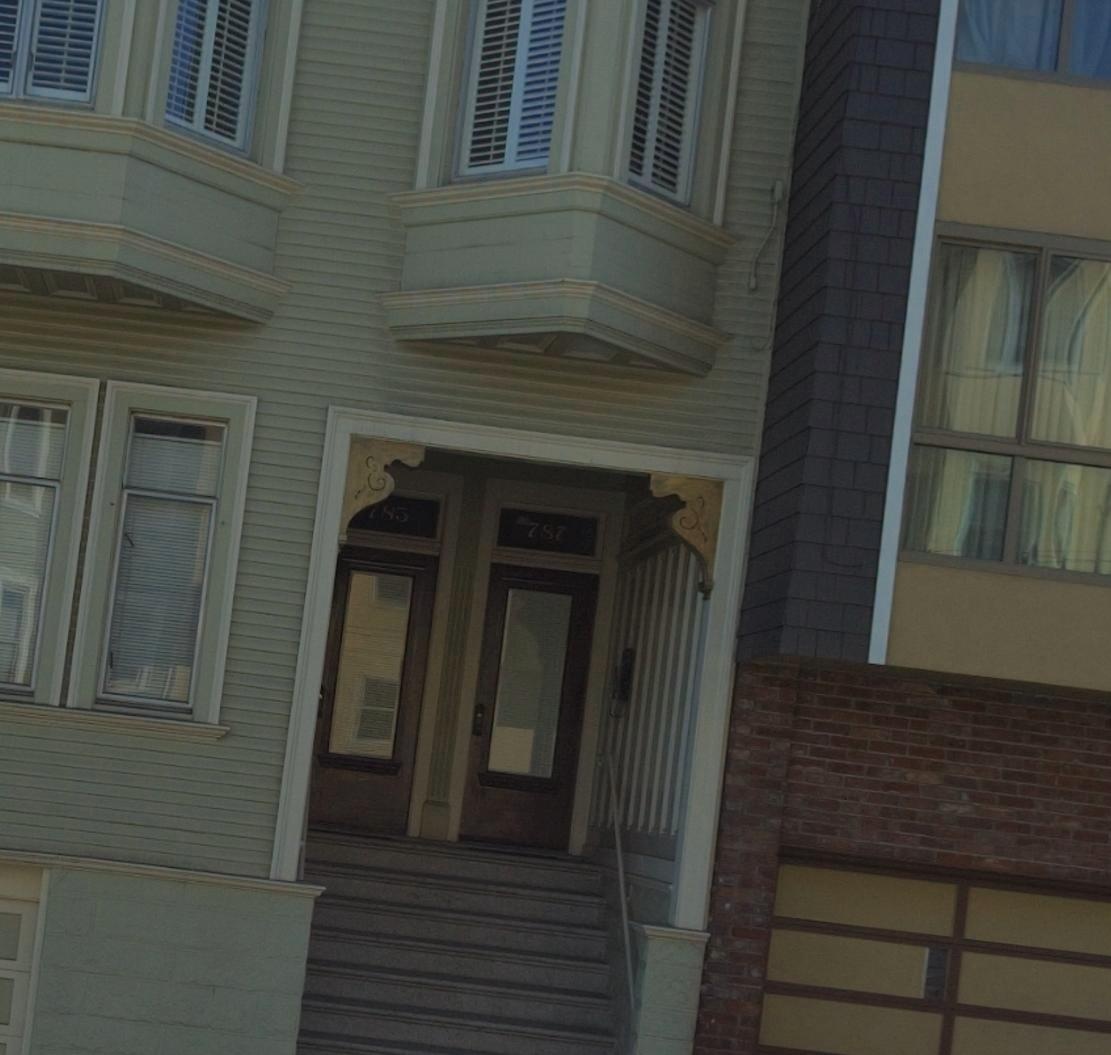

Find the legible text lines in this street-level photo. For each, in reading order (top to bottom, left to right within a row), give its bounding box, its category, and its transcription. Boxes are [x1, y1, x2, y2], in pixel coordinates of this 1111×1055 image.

[379, 502, 411, 524] StreetNumber: 83
[526, 520, 570, 543] StreetNumber: 787